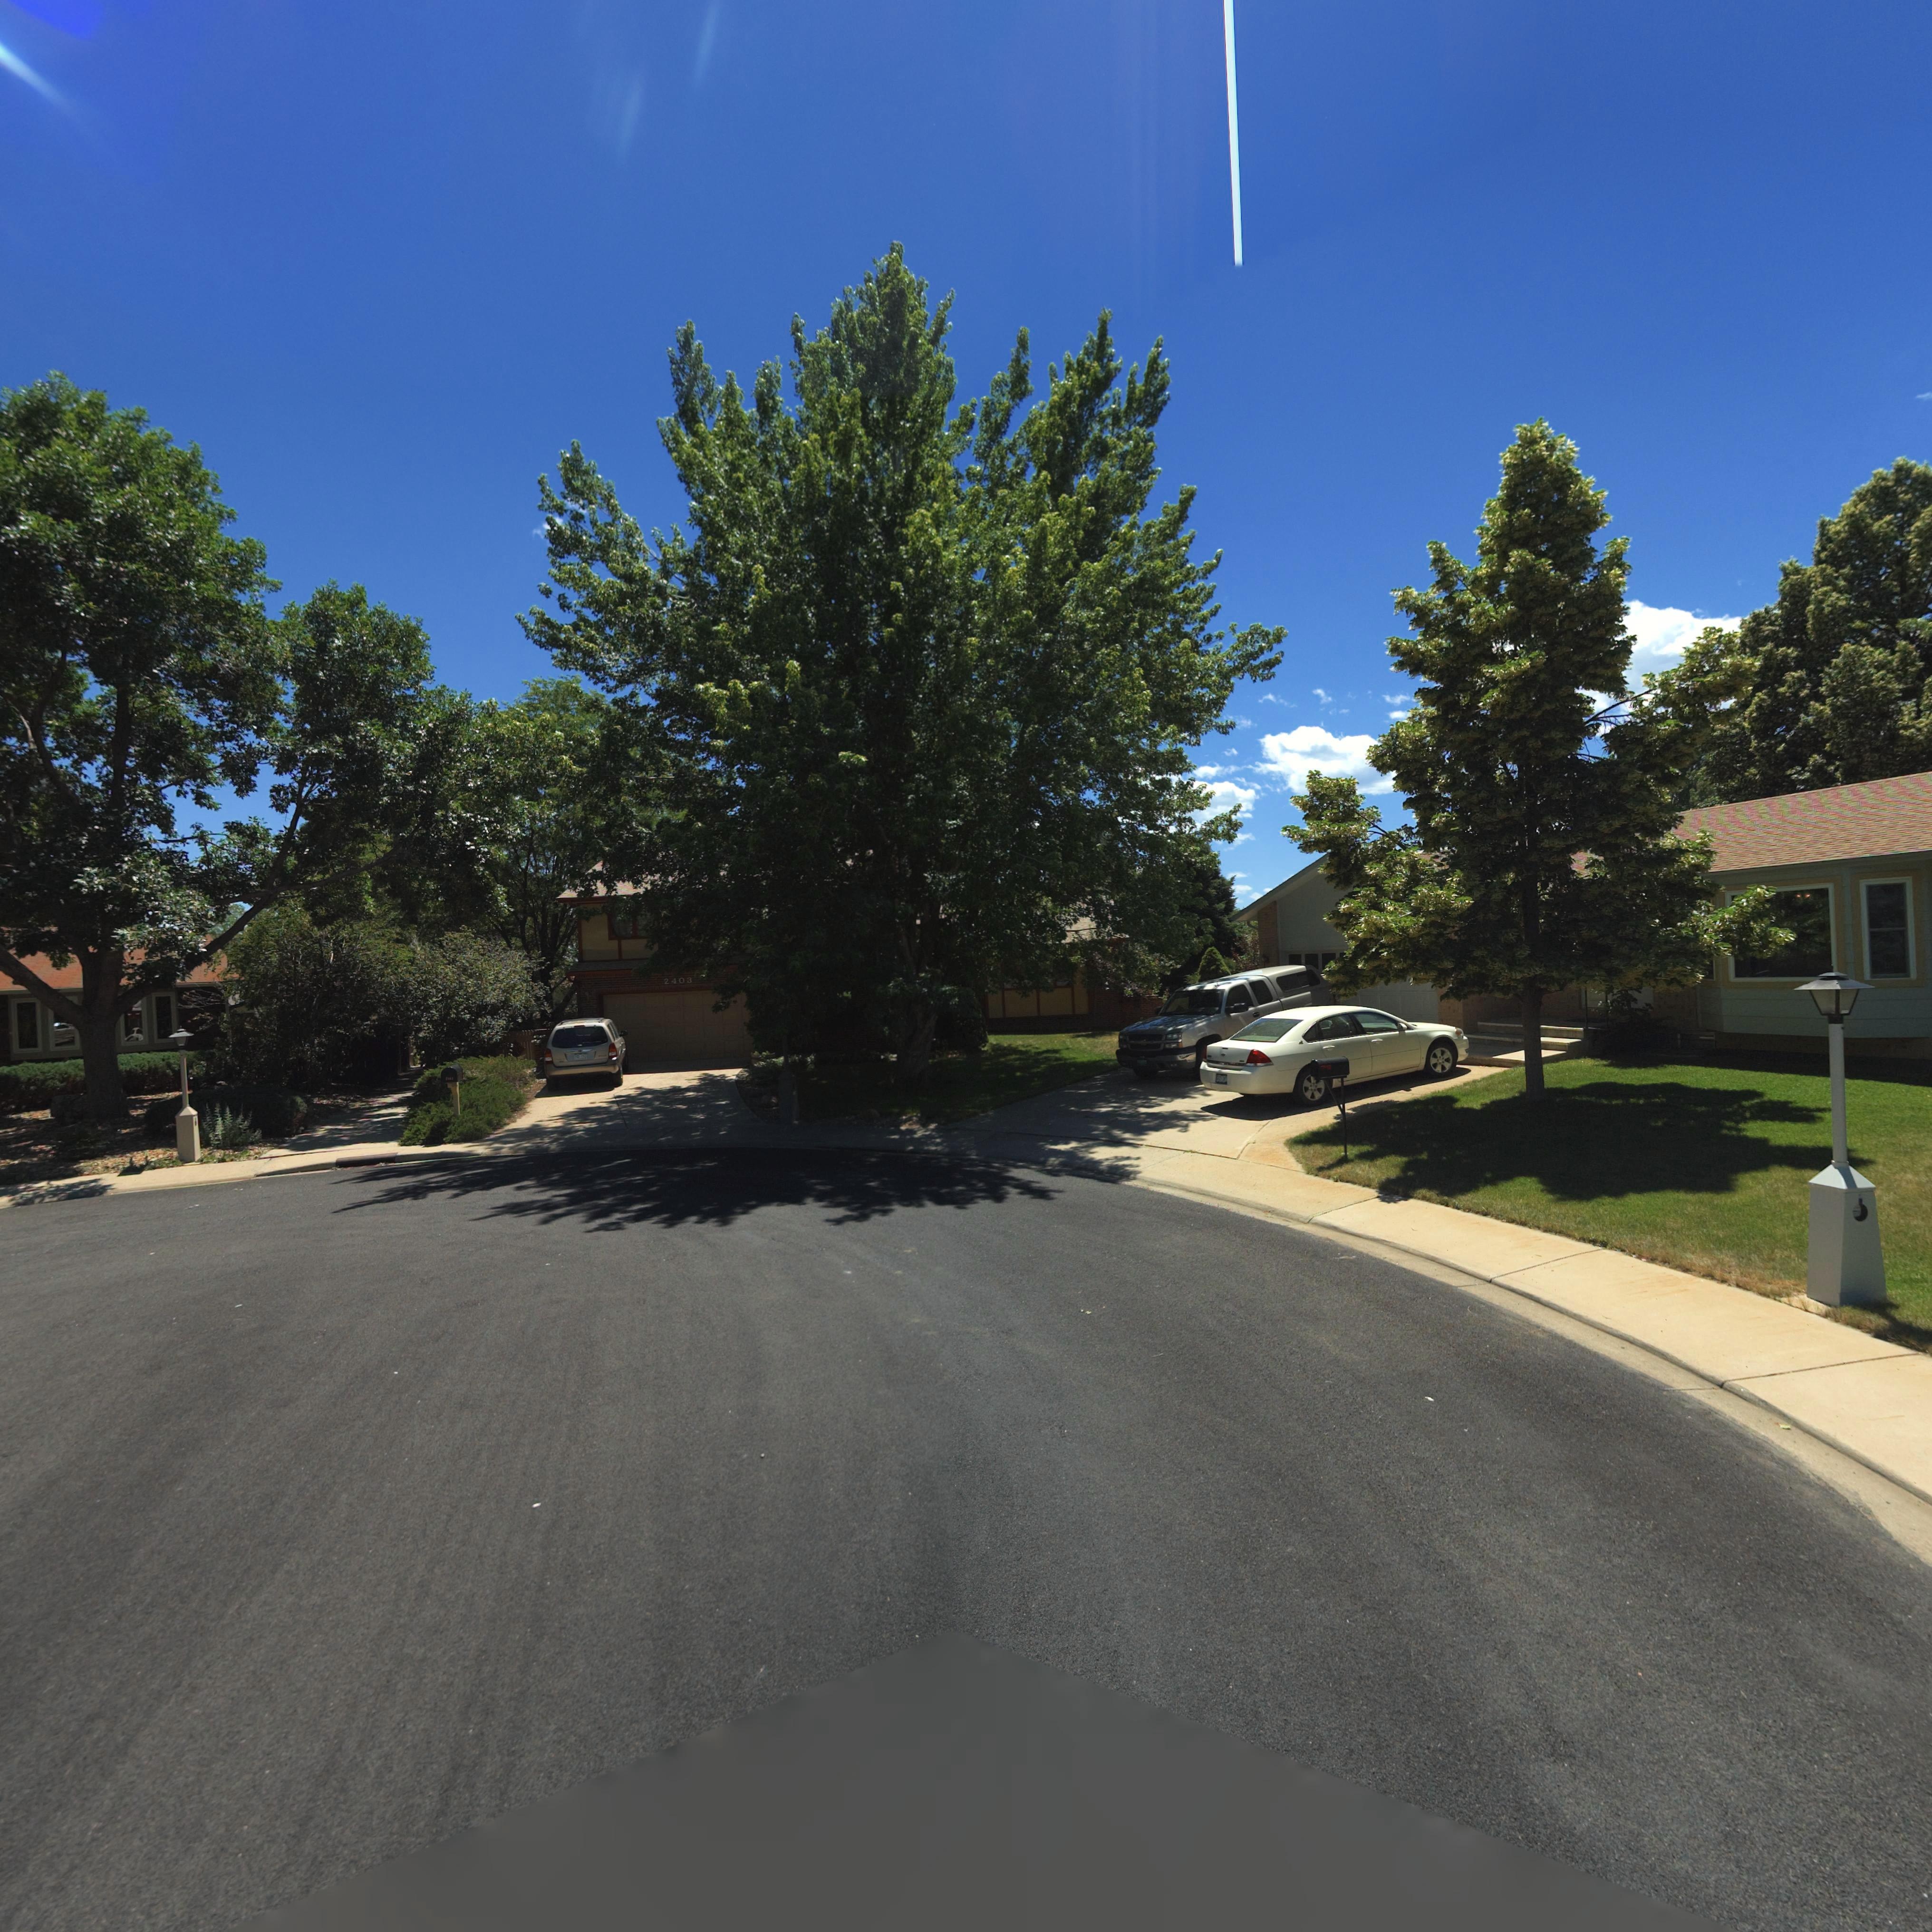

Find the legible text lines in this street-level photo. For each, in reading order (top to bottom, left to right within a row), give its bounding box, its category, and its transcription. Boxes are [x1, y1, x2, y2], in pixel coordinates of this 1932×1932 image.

[663, 976, 692, 985] StreetNumber: 2403